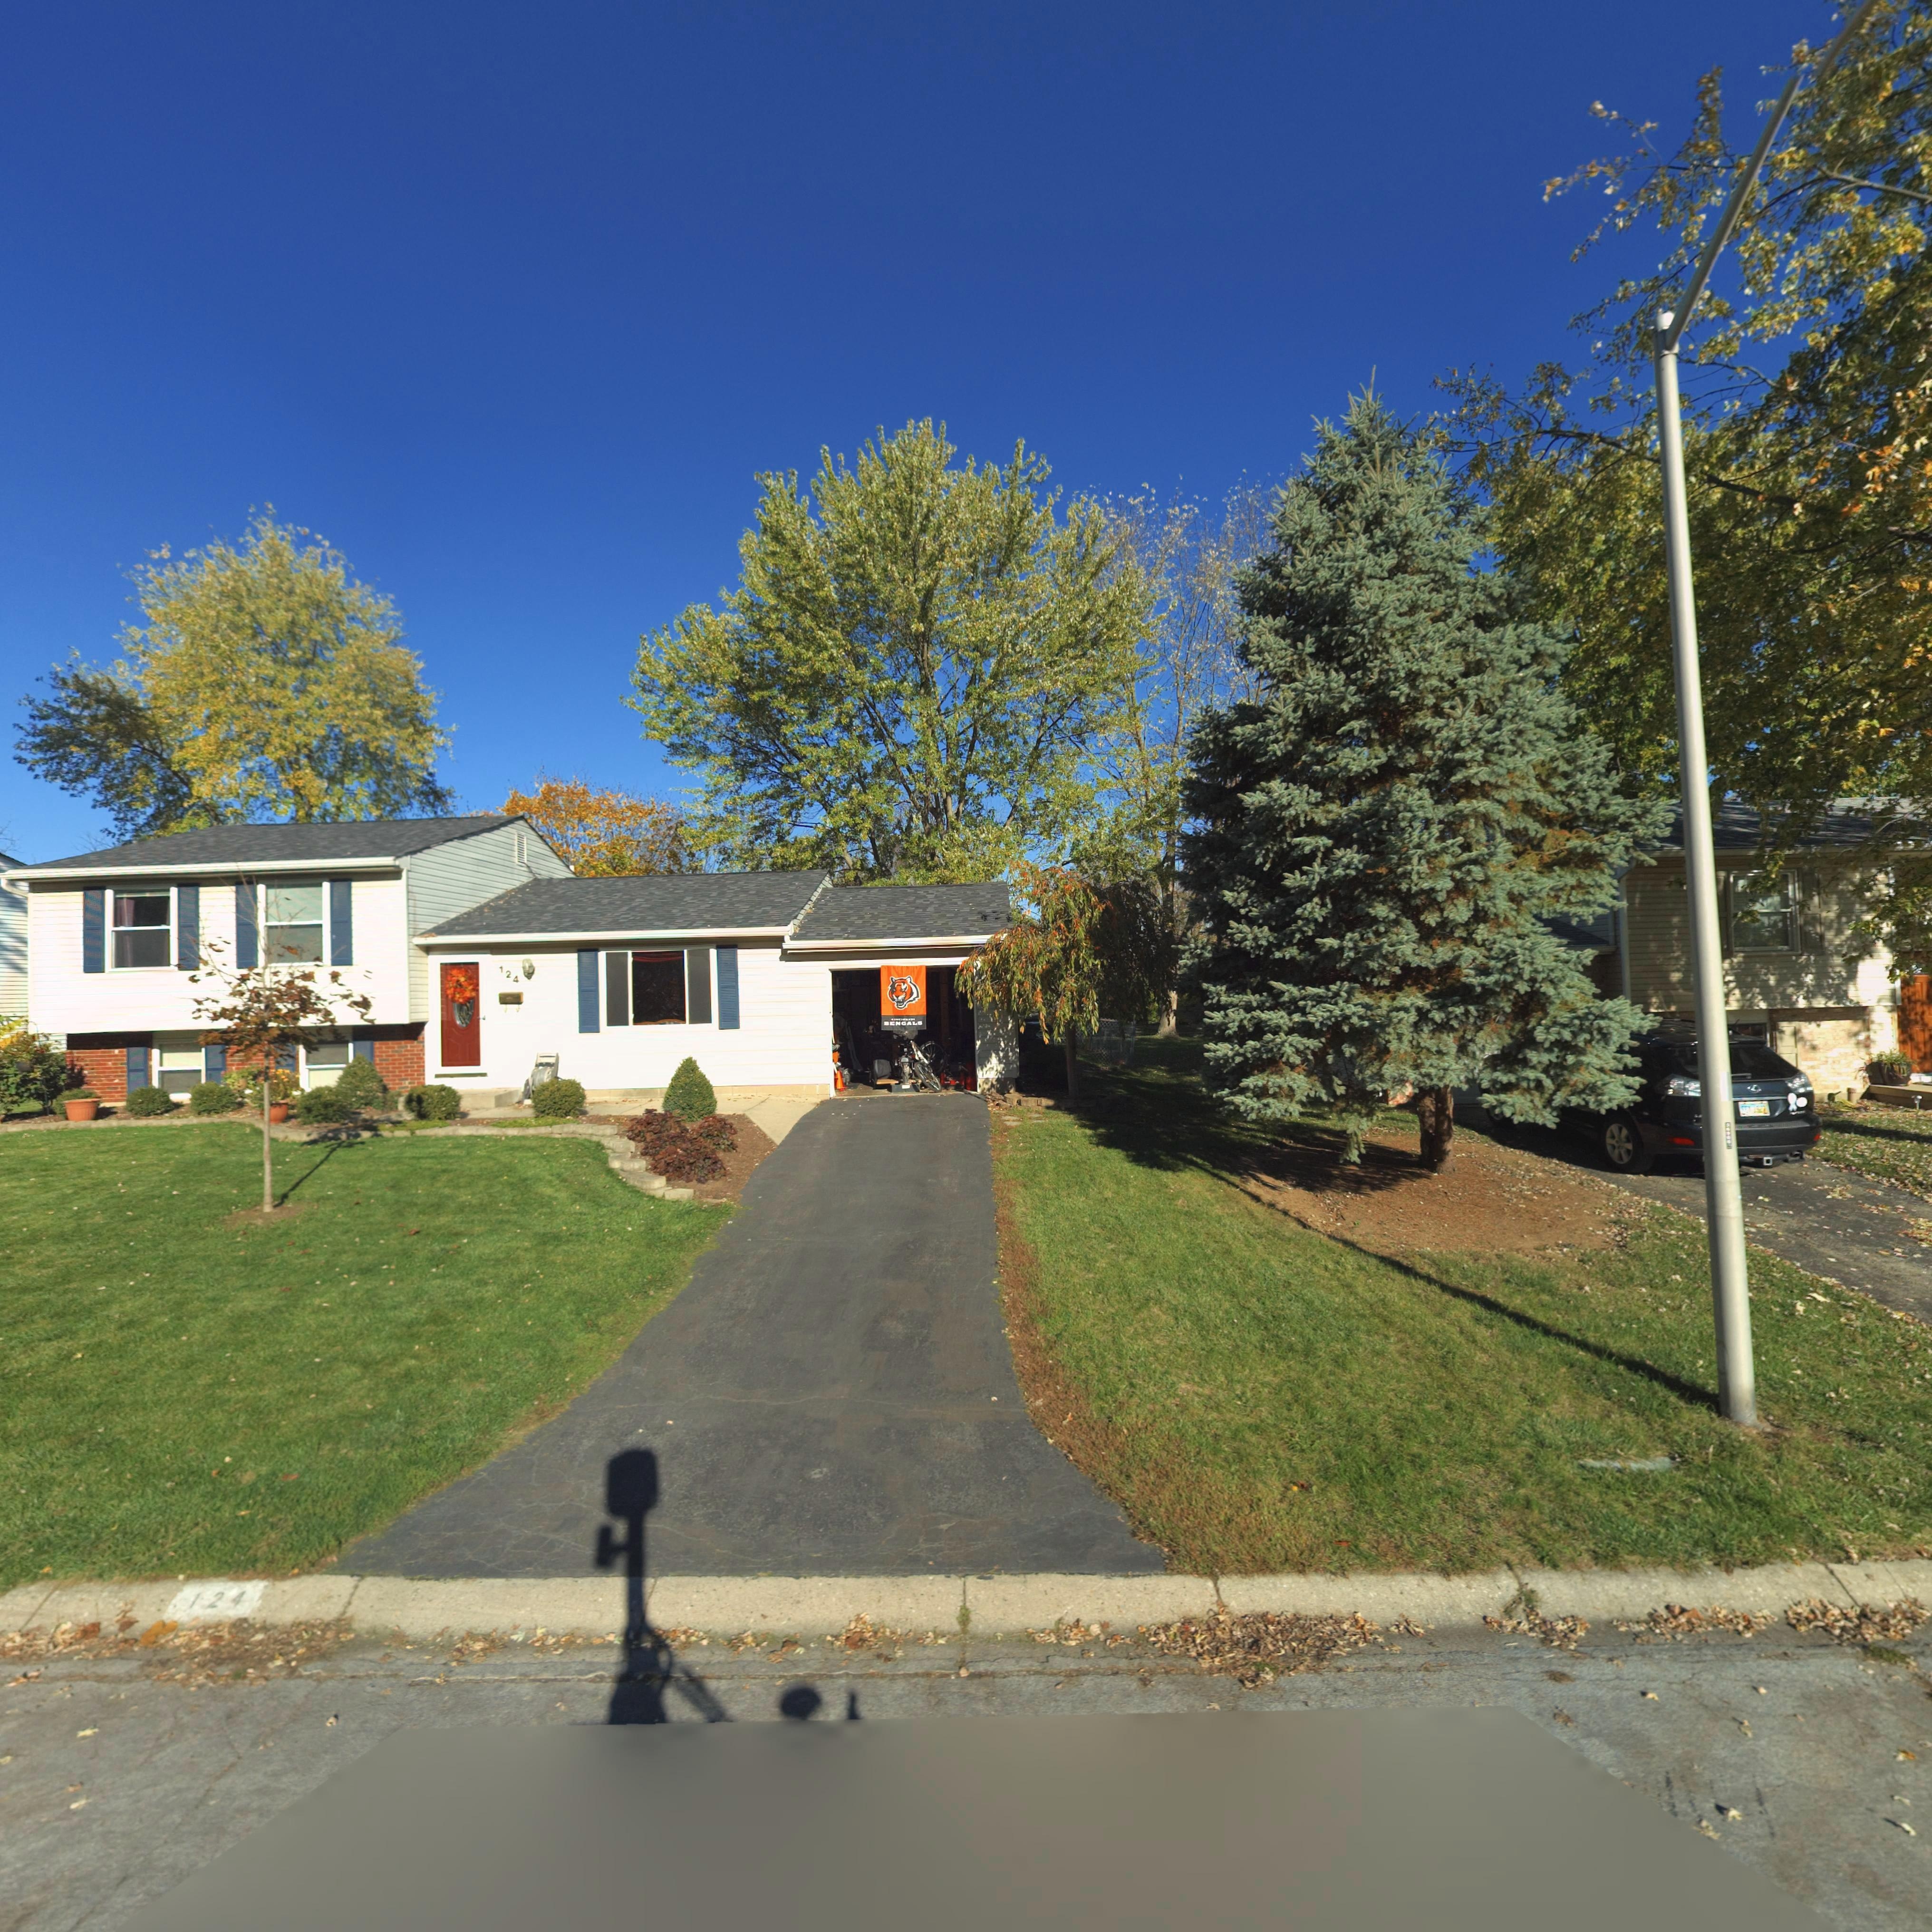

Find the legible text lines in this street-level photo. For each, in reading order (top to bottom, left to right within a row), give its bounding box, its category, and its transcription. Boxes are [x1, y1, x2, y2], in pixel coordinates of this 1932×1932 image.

[498, 965, 519, 984] StreetNumber: 124
[186, 1589, 249, 1610] StreetNumber: 124